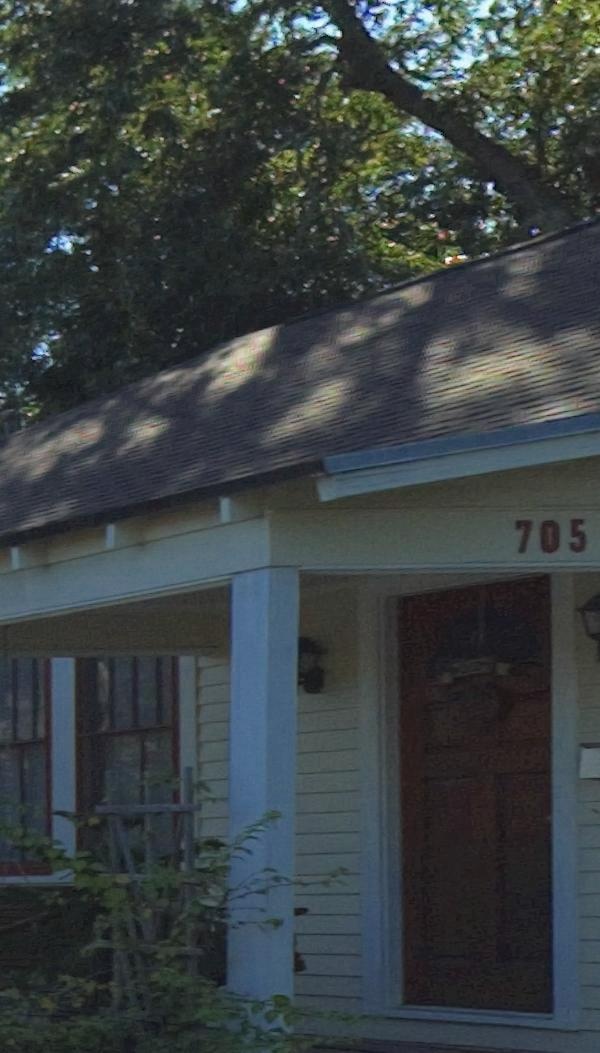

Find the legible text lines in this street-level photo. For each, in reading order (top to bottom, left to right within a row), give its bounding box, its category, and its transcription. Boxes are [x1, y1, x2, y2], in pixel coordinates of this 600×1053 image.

[512, 514, 589, 559] StreetNumber: 705